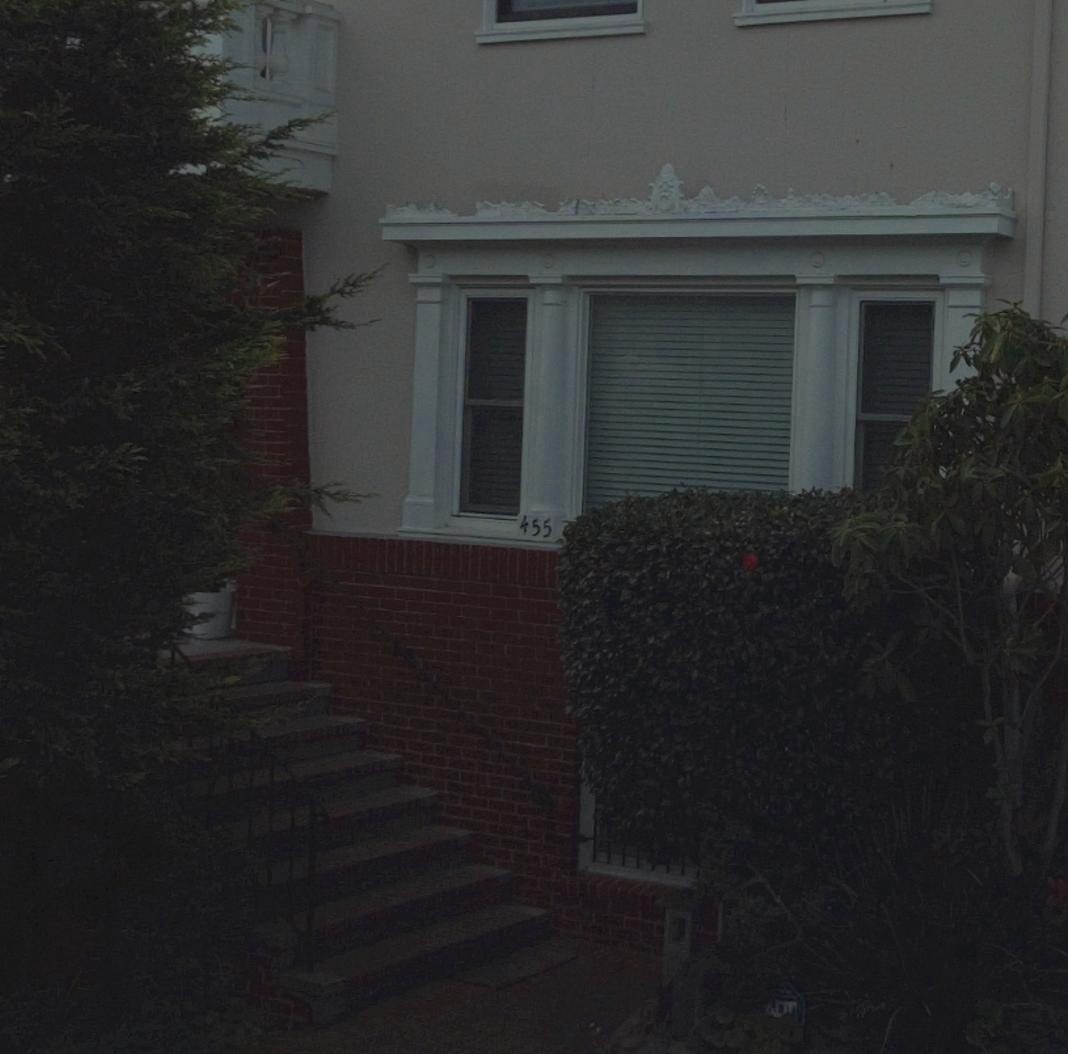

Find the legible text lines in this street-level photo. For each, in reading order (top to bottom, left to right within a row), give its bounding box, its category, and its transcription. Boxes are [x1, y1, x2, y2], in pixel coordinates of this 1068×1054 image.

[519, 514, 552, 539] StreetNumber: 455